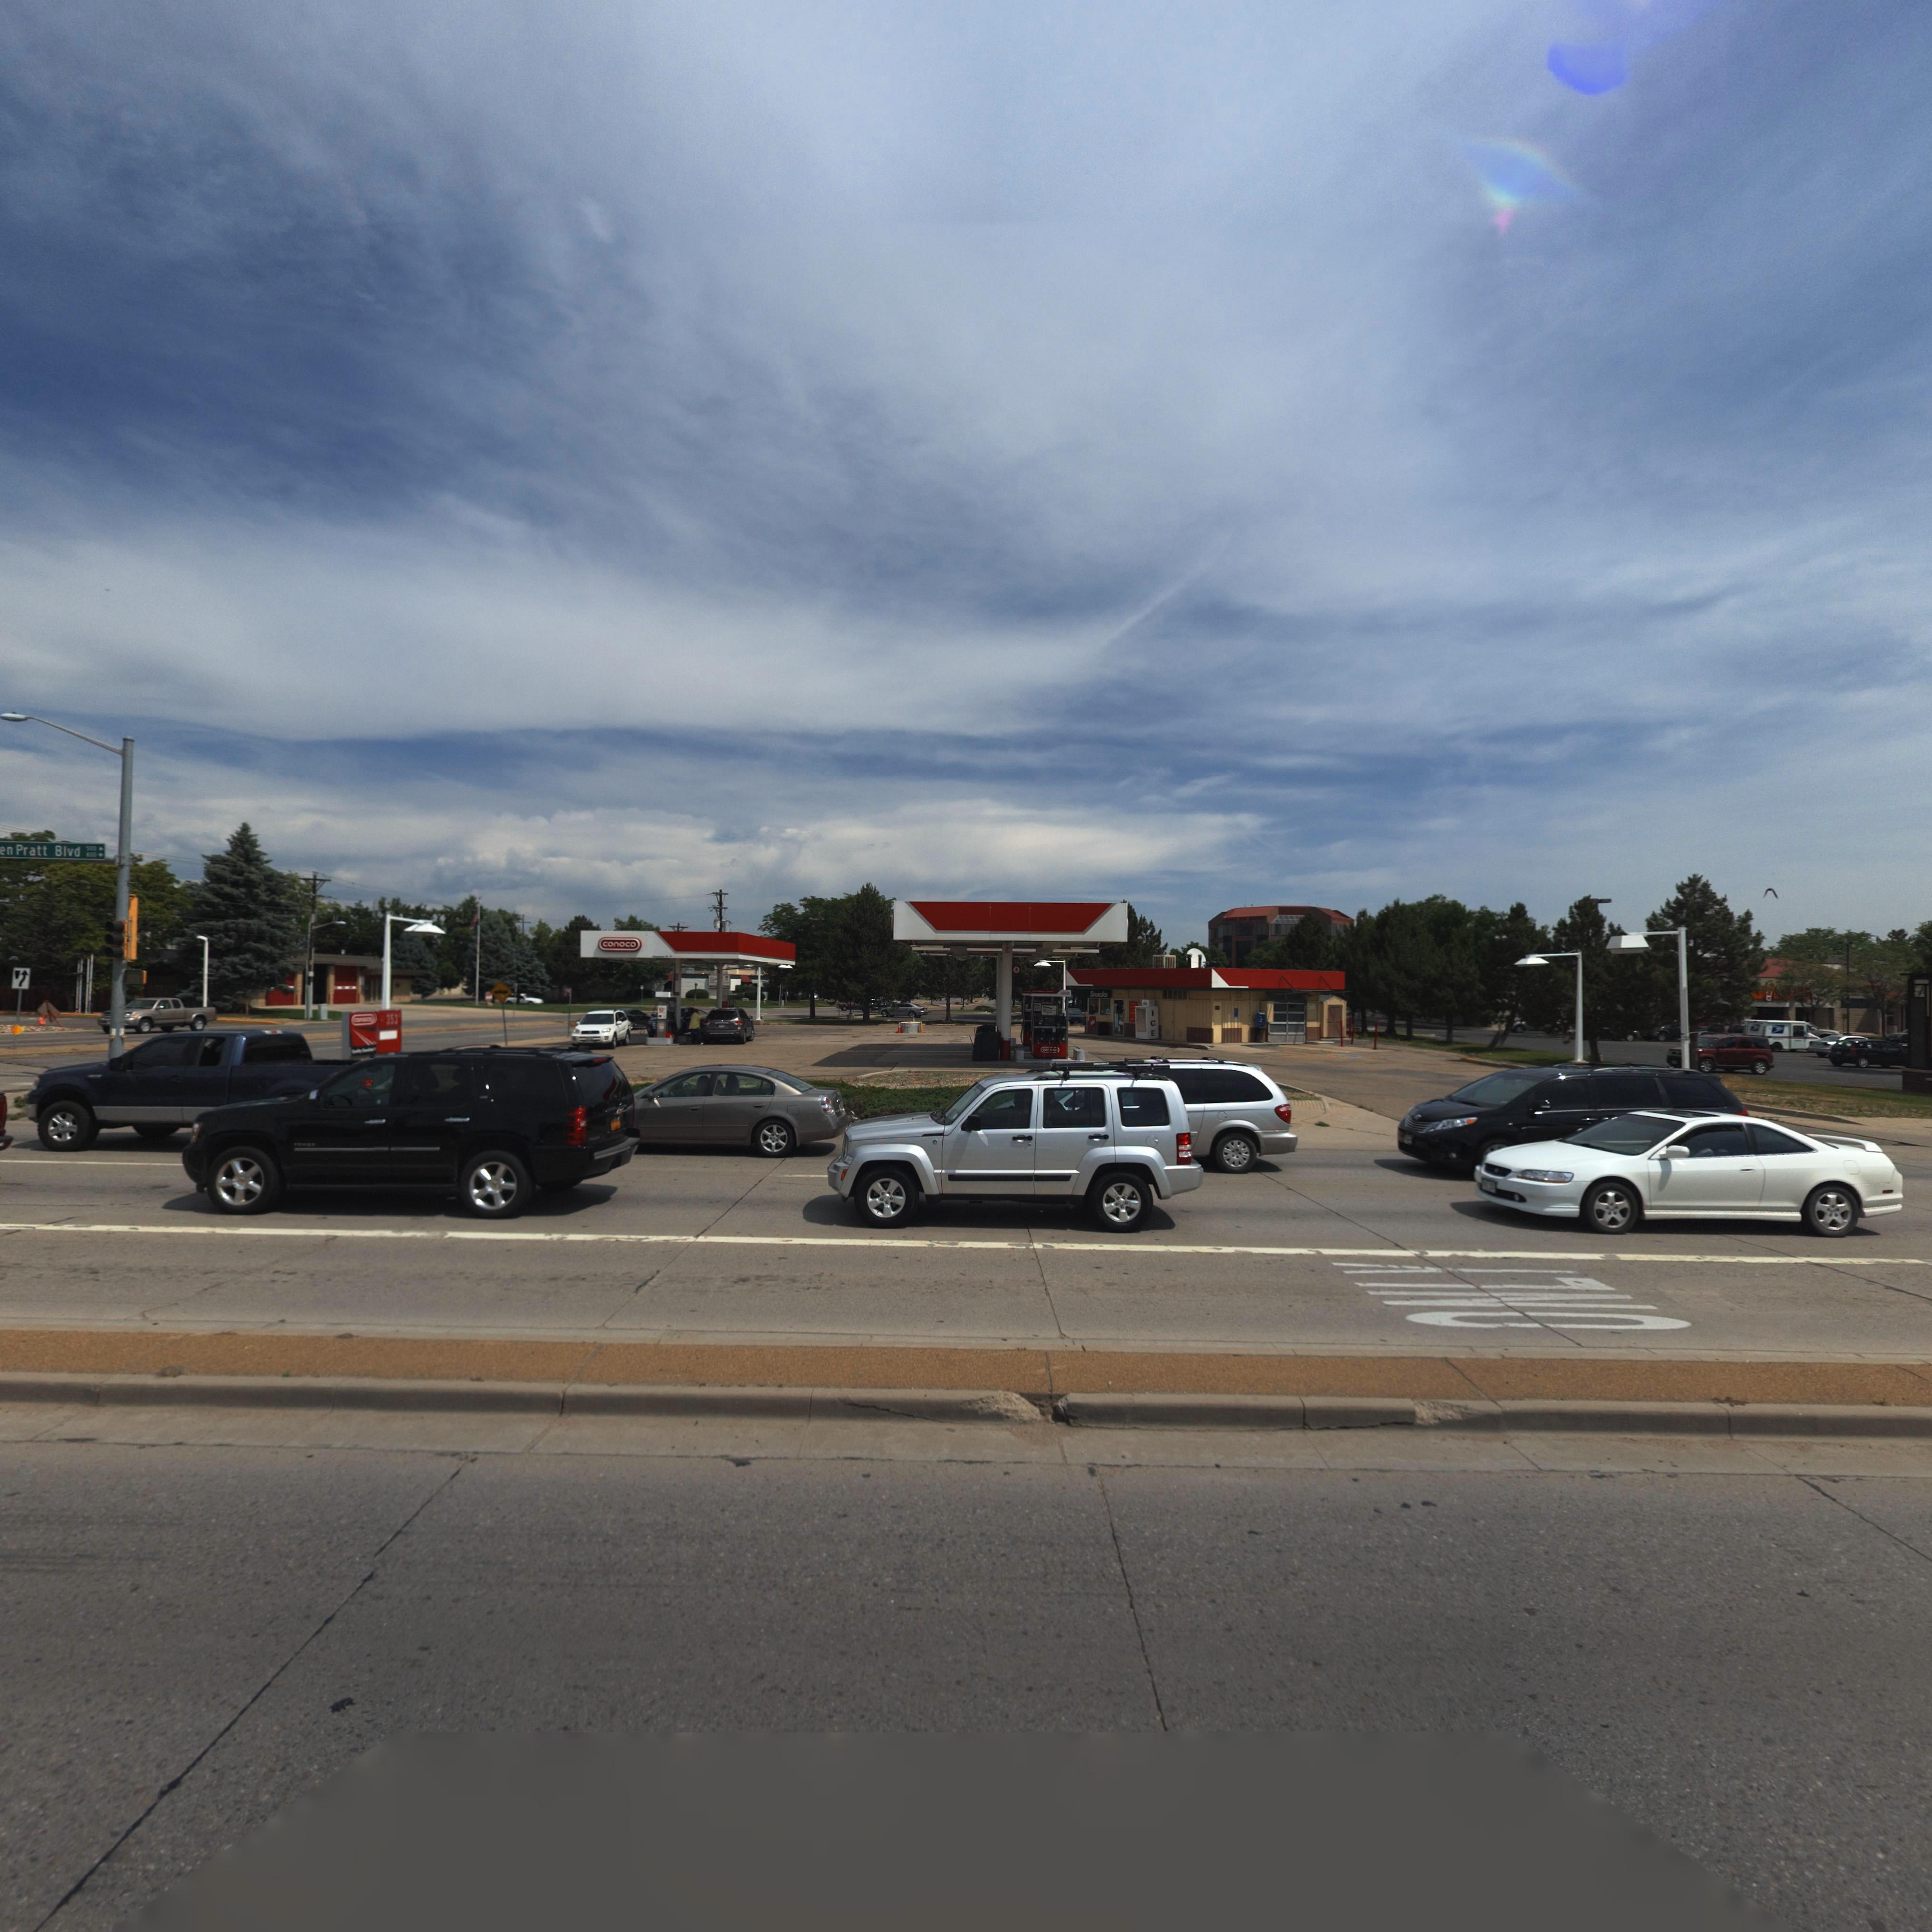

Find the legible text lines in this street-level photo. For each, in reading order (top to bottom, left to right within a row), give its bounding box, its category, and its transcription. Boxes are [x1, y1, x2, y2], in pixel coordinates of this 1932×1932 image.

[0, 845, 79, 856] StreetName: en Pratt Blvd
[85, 845, 97, 851] StreetNumberRange: 500
[602, 940, 637, 947] BusinessName: conoco